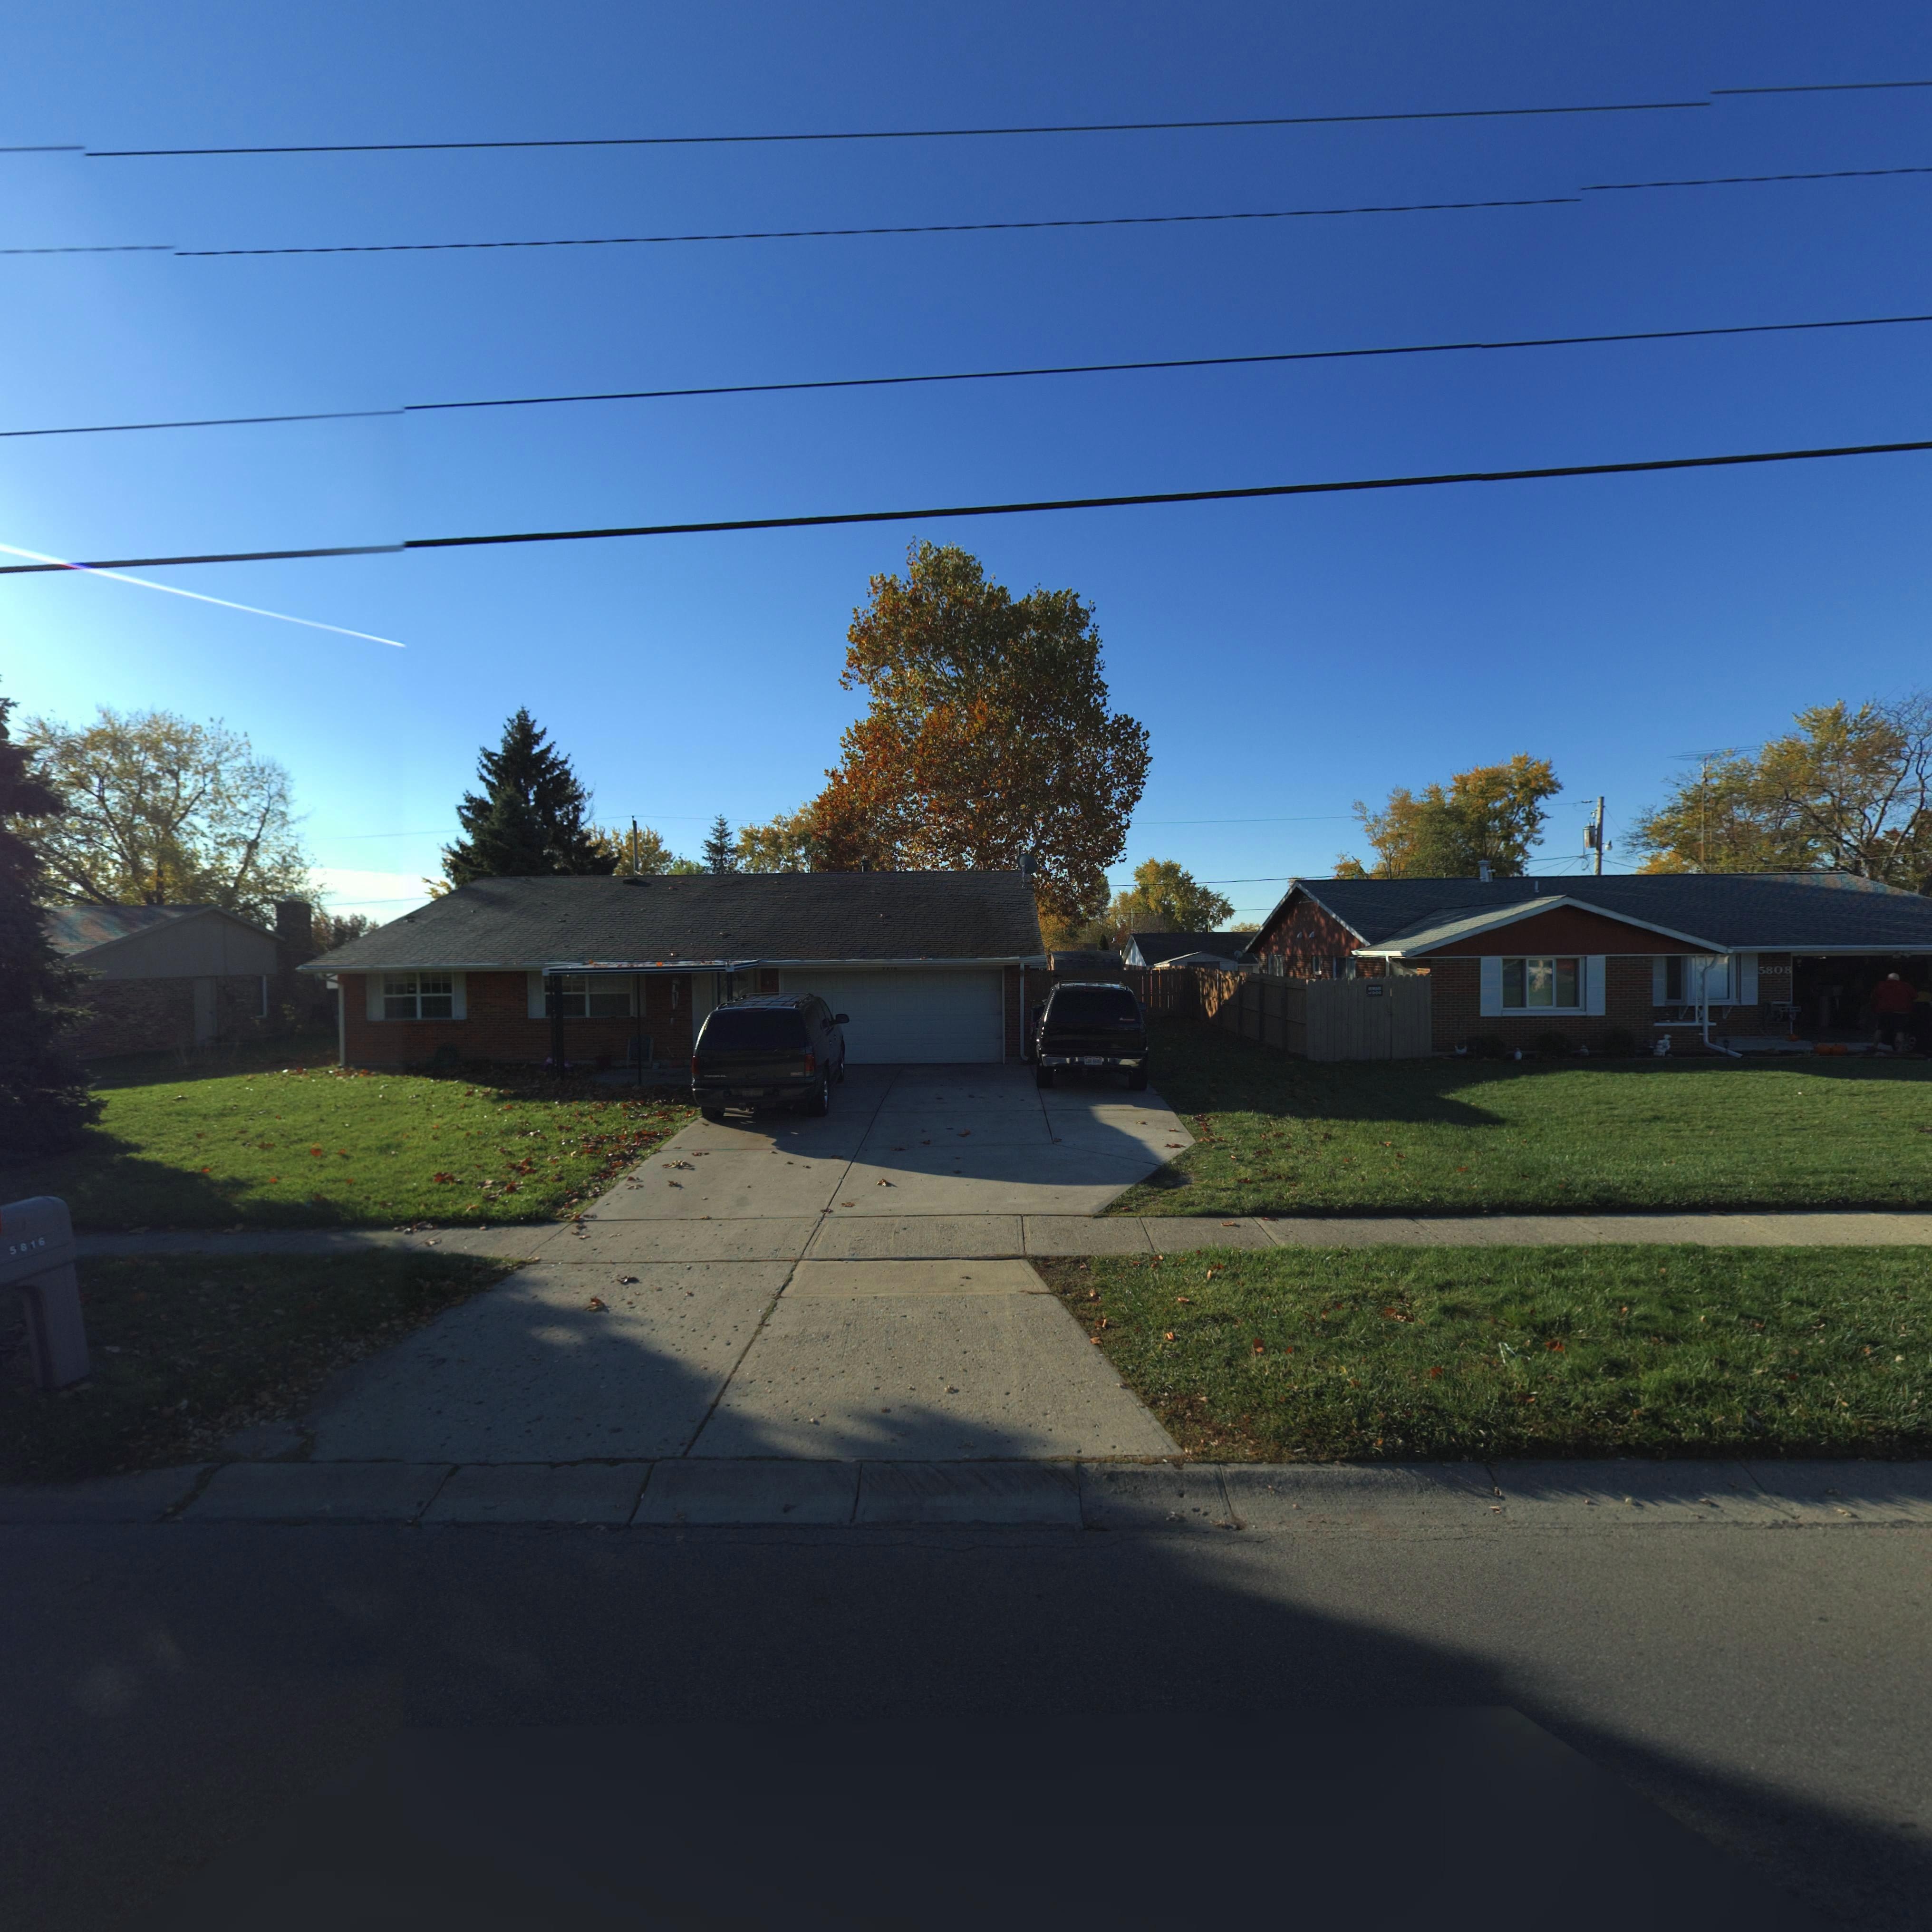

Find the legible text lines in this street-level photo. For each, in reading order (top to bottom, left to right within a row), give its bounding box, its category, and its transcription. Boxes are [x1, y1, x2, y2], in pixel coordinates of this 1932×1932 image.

[1758, 965, 1793, 976] StreetNumber: 5808
[9, 1235, 47, 1257] StreetNumber: 5816